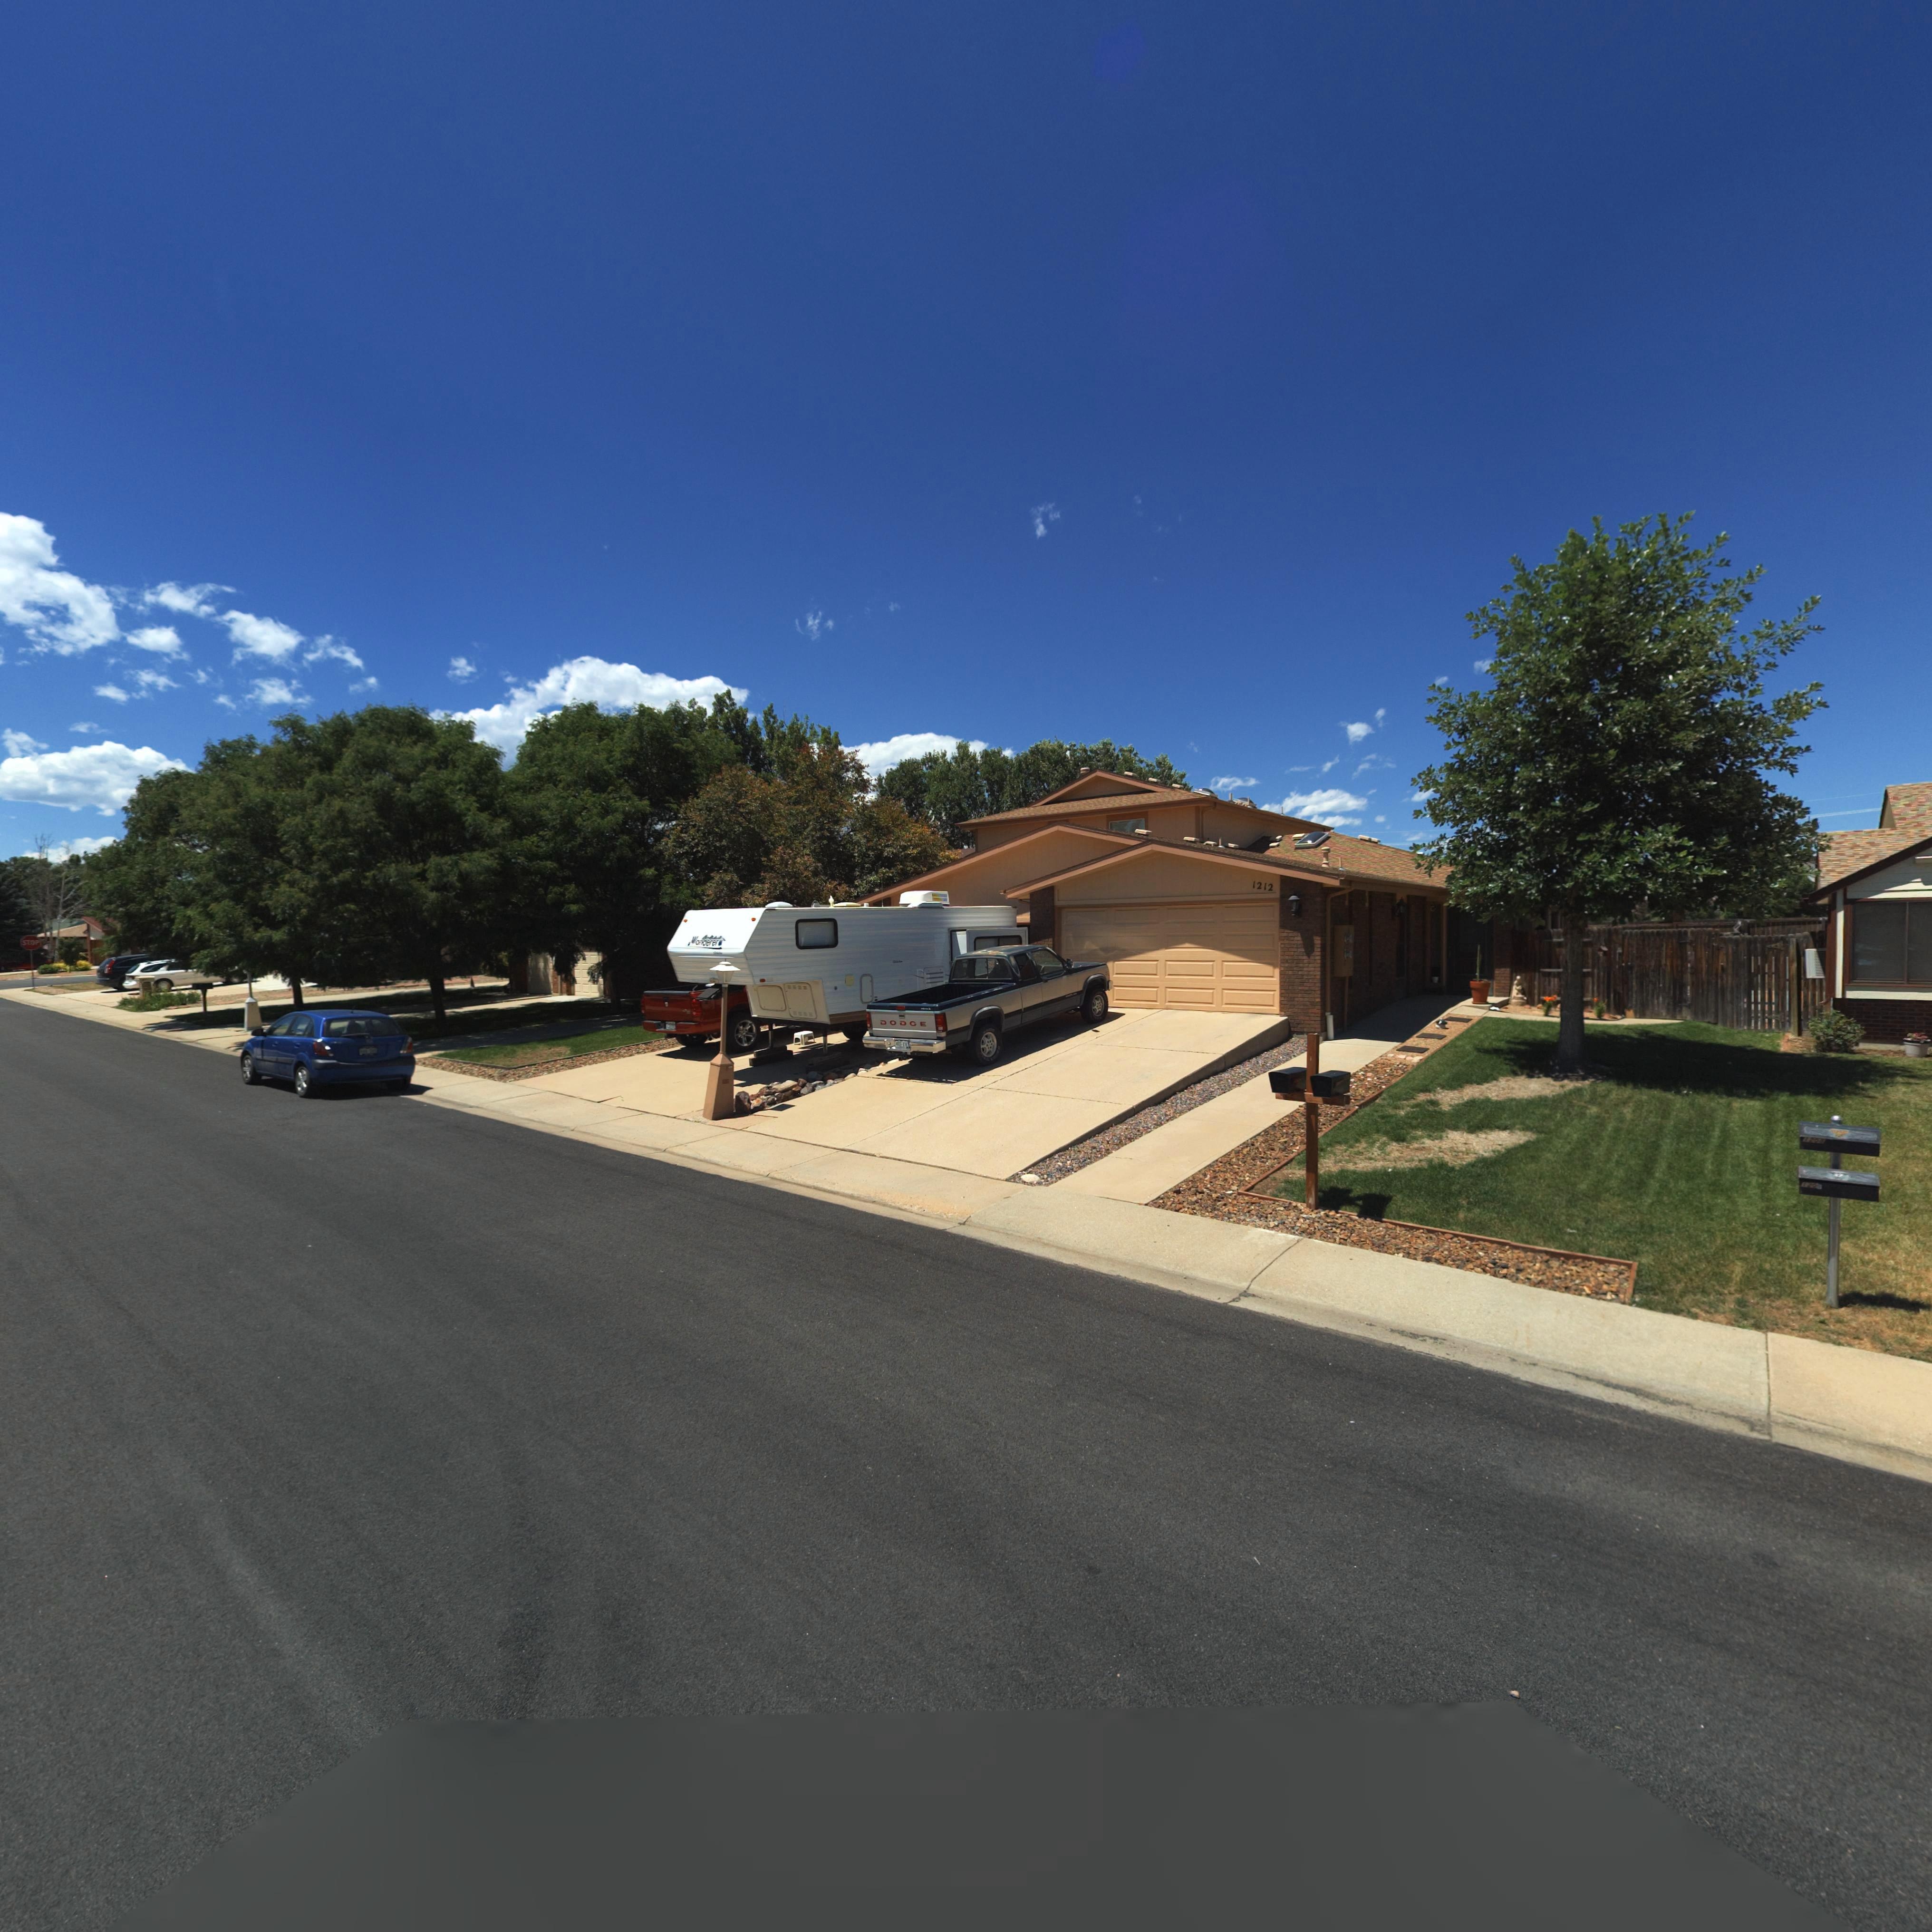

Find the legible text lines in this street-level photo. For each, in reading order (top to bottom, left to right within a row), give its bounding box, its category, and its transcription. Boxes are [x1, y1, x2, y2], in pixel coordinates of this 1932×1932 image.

[1252, 880, 1273, 891] StreetNumber: 1212
[1805, 1136, 1826, 1143] StreetNumber: 1208